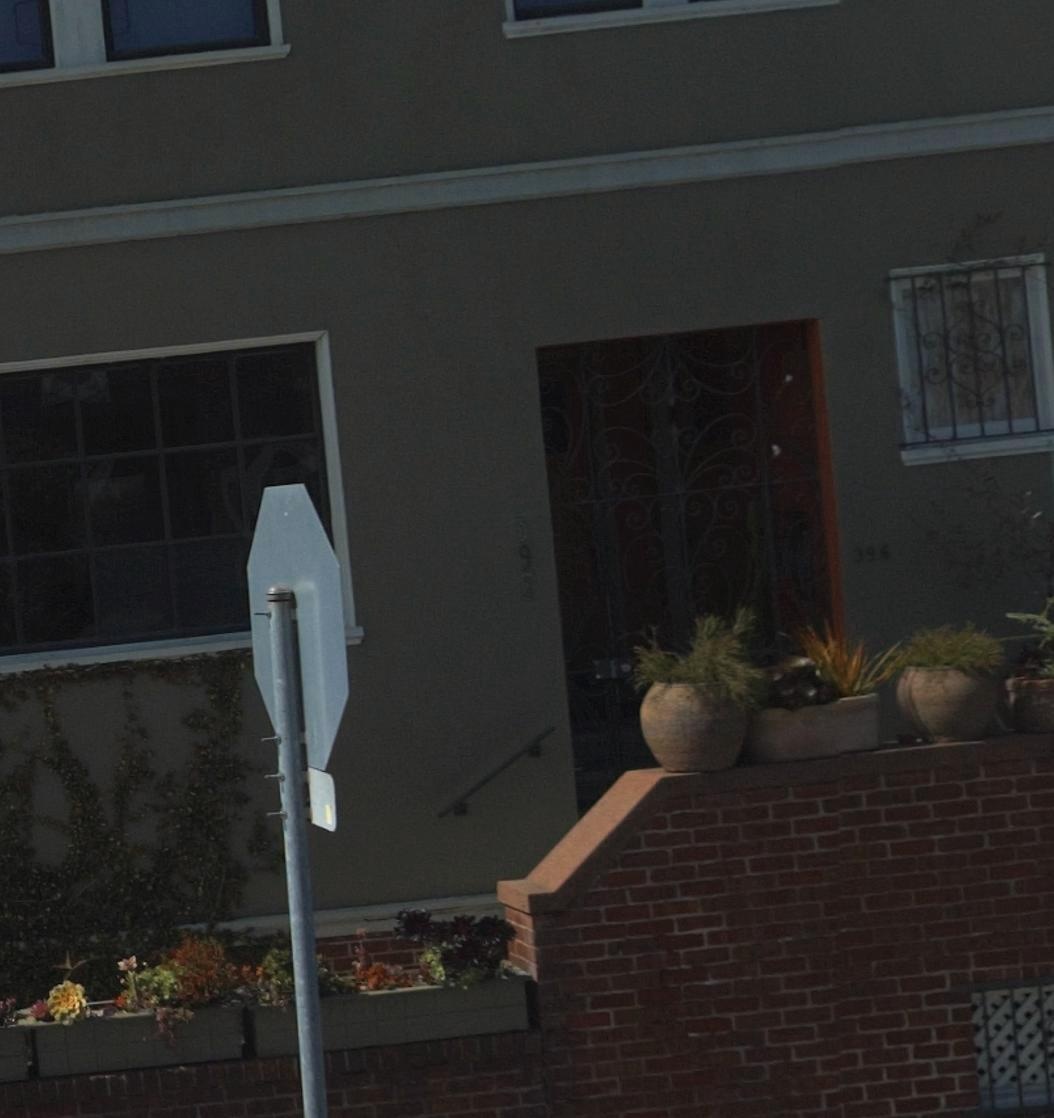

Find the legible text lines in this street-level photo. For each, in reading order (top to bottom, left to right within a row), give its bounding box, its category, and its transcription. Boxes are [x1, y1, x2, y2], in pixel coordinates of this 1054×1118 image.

[510, 513, 536, 592] StreetNumber: 398
[852, 543, 892, 565] StreetNumber: 396